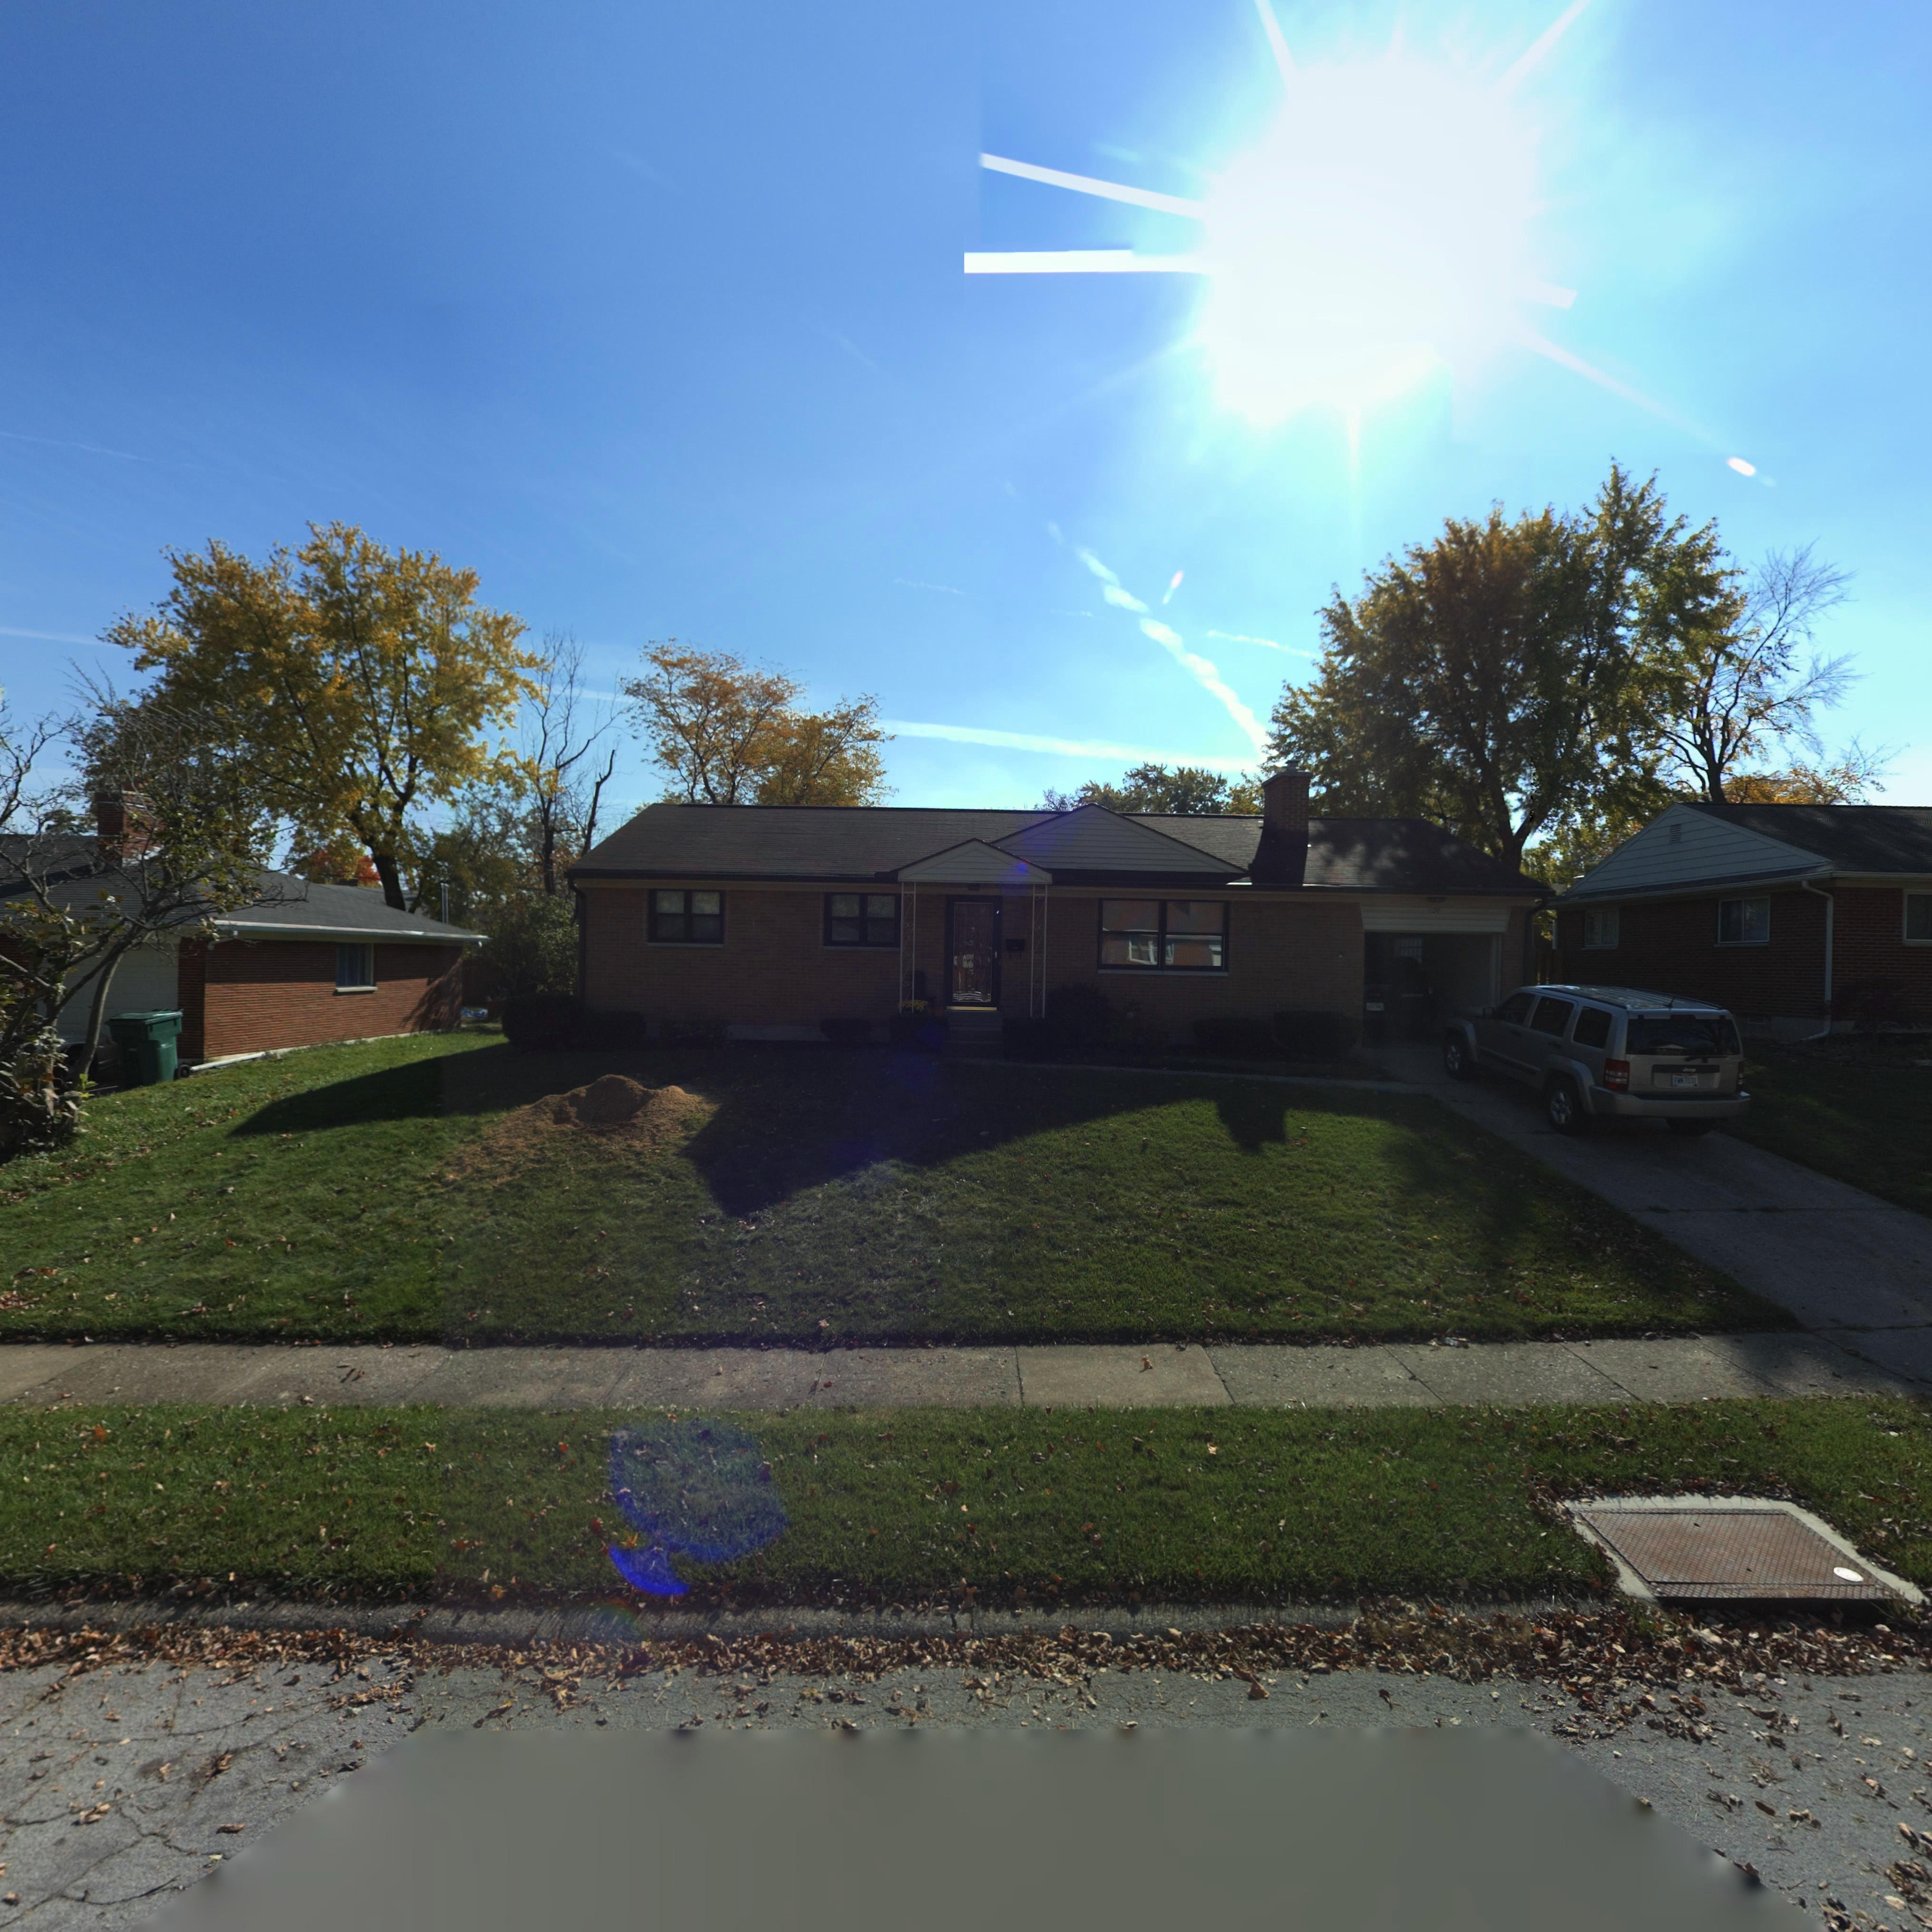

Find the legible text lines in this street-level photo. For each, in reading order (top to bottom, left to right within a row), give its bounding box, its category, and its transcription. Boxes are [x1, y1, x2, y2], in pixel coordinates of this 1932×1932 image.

[1430, 906, 1442, 916] StreetNumber: 24